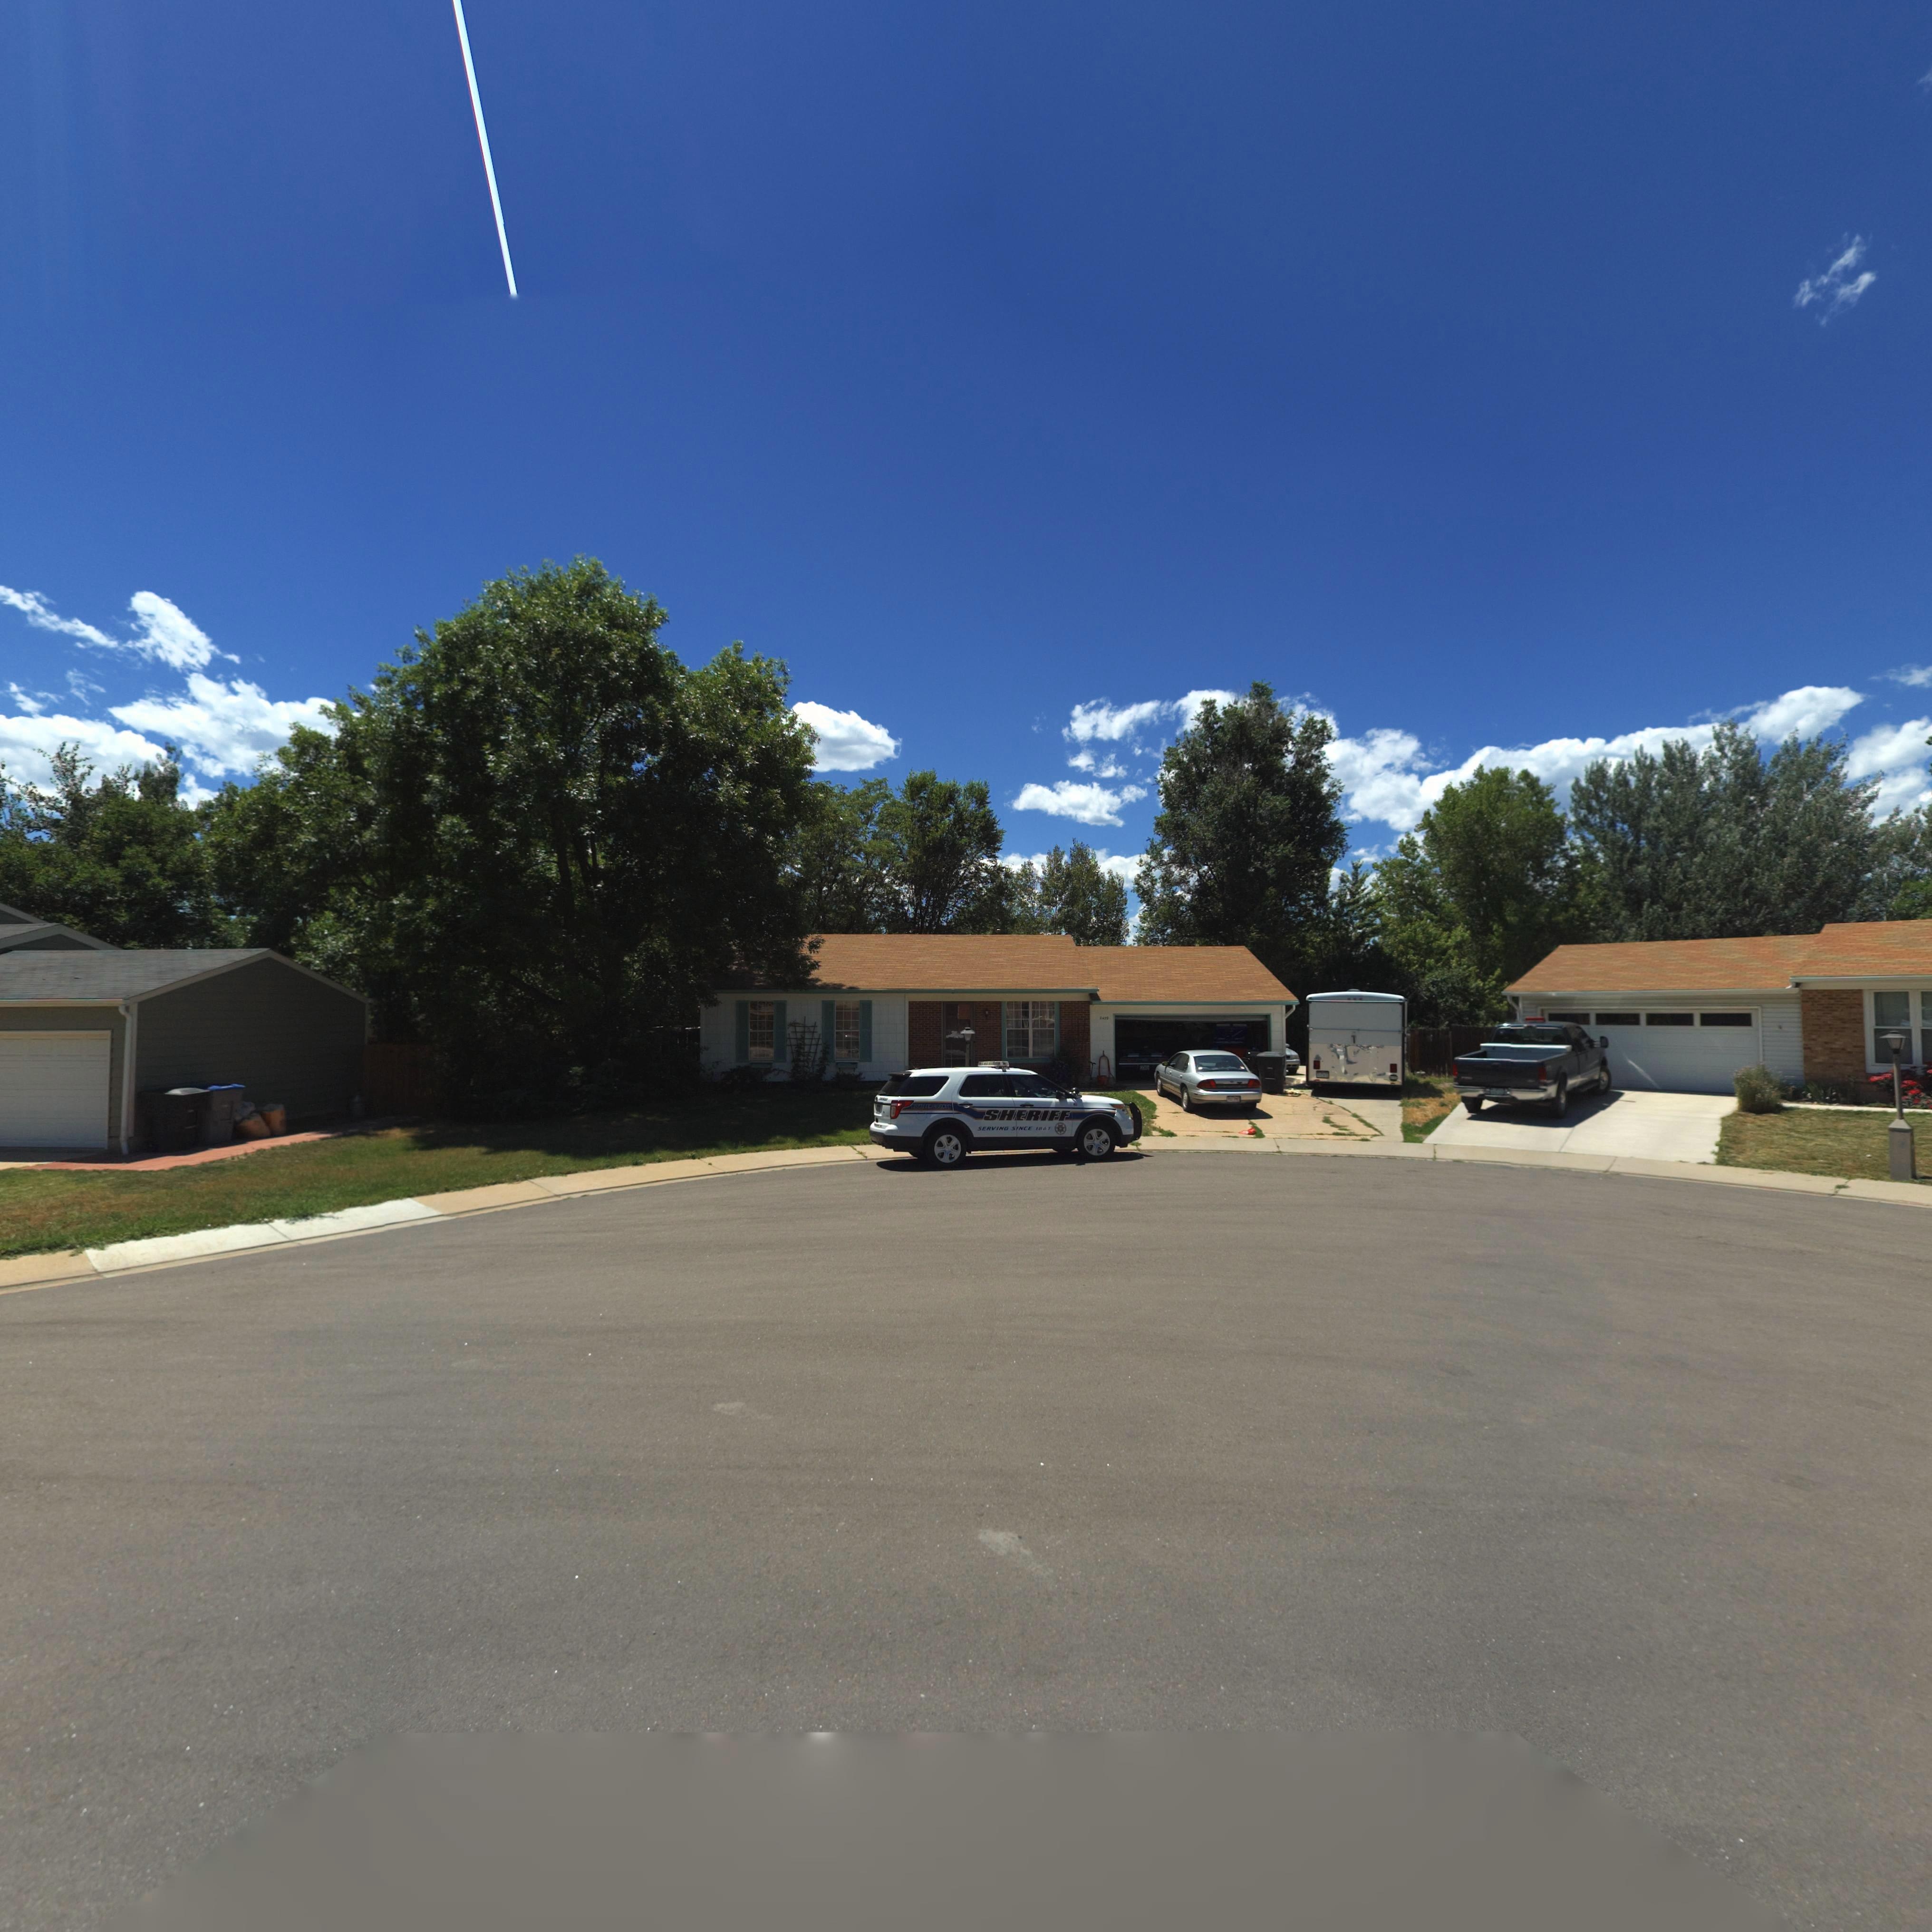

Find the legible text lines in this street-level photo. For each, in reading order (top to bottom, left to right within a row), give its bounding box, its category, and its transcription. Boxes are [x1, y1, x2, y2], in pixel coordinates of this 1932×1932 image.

[1099, 1016, 1109, 1020] StreetNumber: 2**9